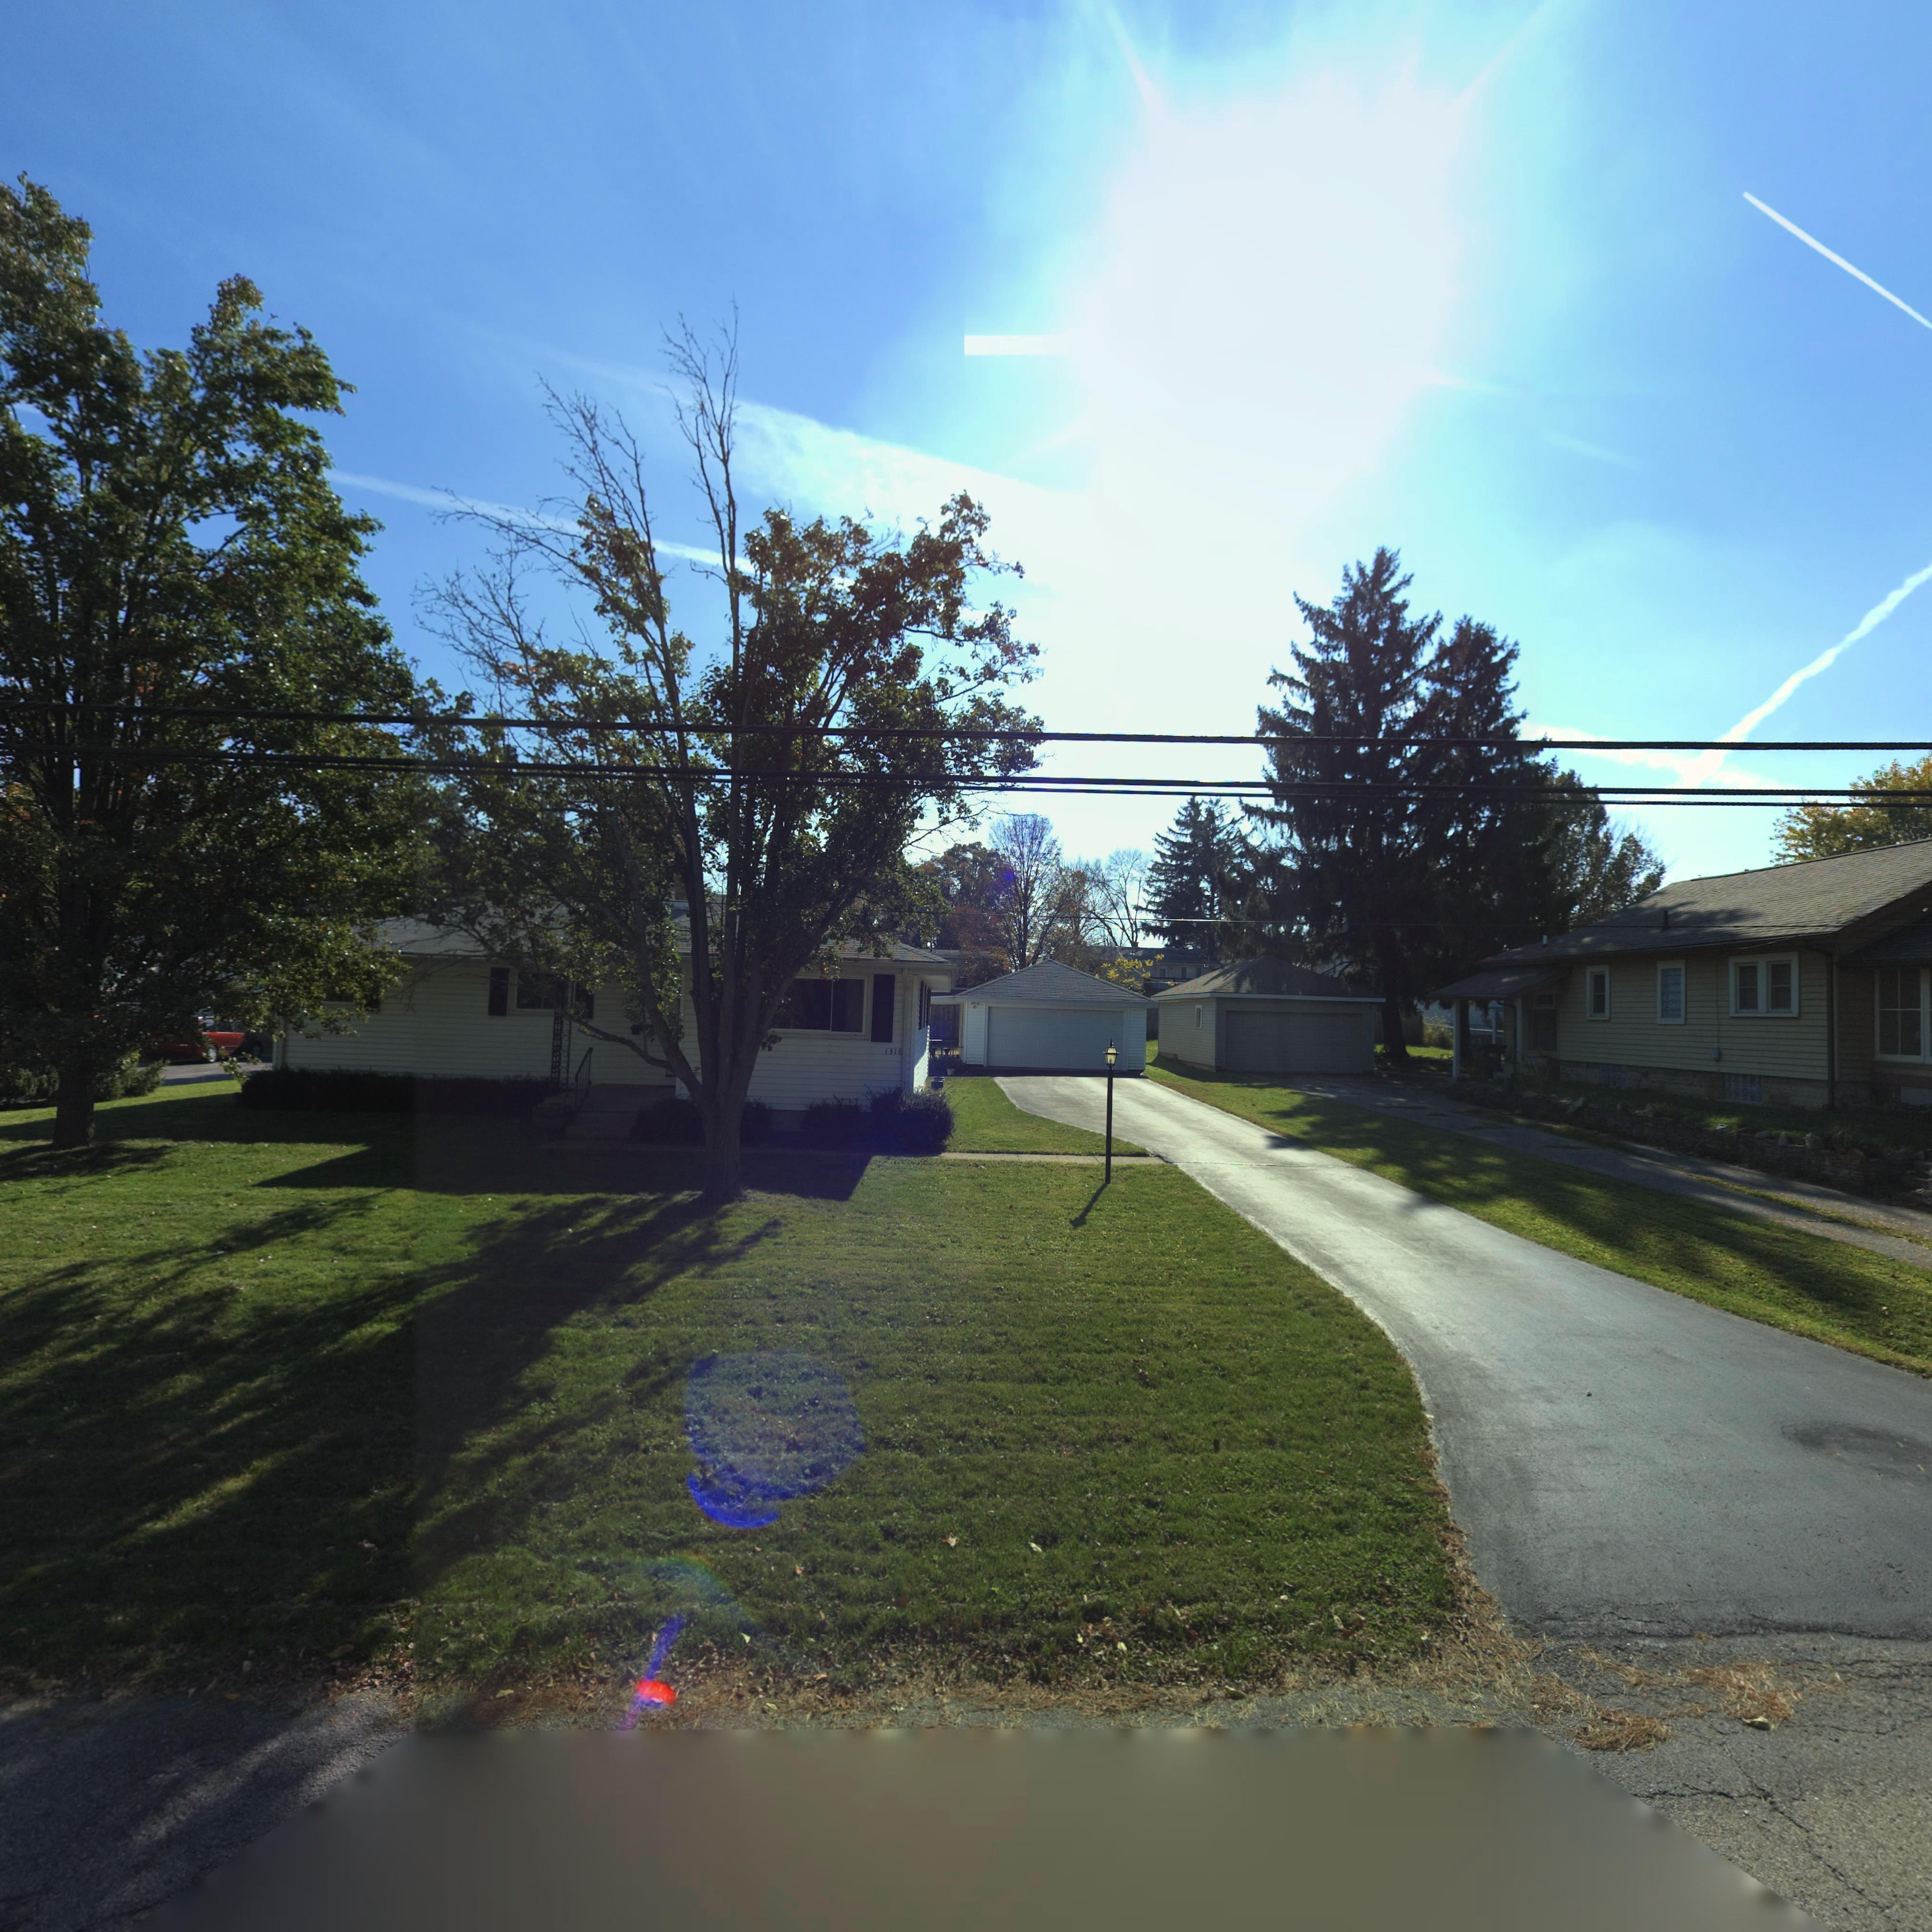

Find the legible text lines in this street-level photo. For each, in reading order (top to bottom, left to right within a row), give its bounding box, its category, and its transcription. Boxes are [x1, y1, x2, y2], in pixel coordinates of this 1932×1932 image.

[884, 1047, 903, 1055] StreetNumber: 1316